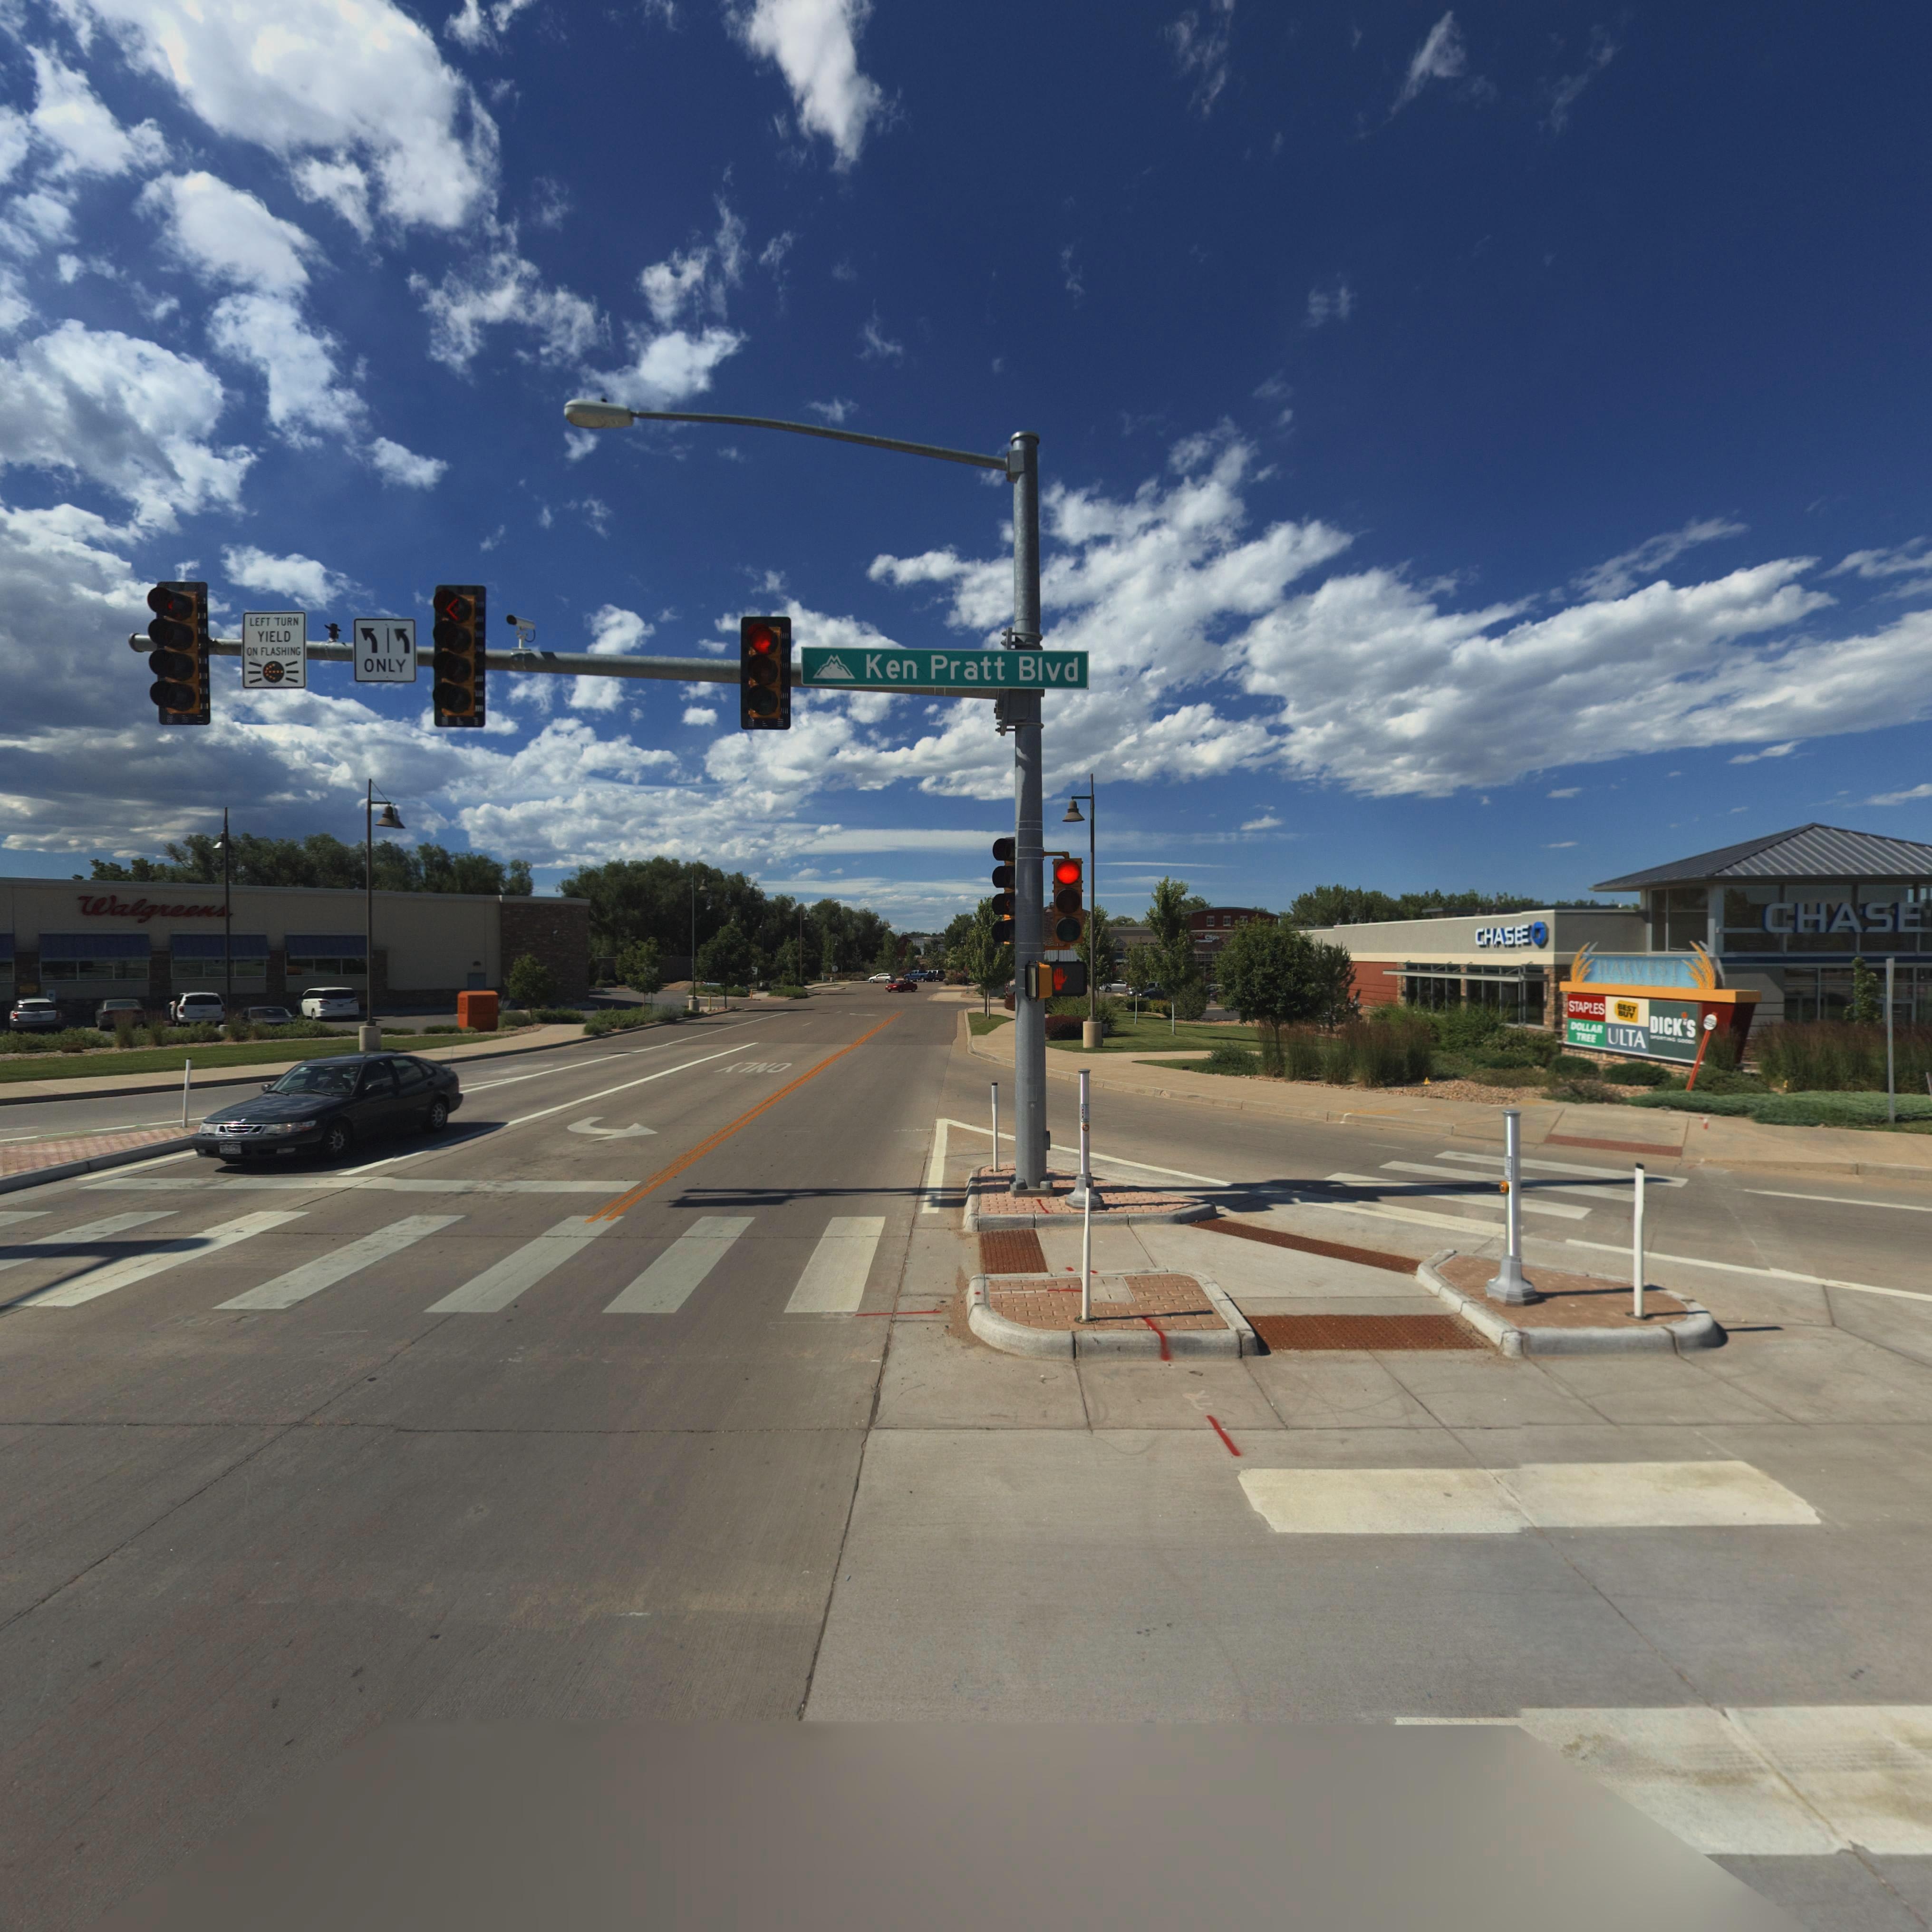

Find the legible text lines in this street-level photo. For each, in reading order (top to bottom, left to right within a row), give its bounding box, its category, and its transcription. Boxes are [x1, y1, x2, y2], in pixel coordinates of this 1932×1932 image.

[865, 654, 1078, 681] BusinessName: Ken Pratt Blvd
[76, 892, 232, 925] BusinessName: Walgreens
[1766, 900, 1926, 932] BusinessName: CHASE
[1115, 939, 1125, 947] BusinessName: ics
[1194, 933, 1220, 941] BusinessName: ortClips
[1471, 921, 1532, 949] BusinessName: CHASE
[1567, 999, 1605, 1015] BusinessName: STAPLES
[1617, 1010, 1634, 1019] BusinessName: BUY
[1617, 1002, 1637, 1014] BusinessName: BEST
[1568, 1021, 1604, 1034] BusinessName: DOLLAR
[1649, 1015, 1696, 1038] BusinessName: DICK*S
[1574, 1032, 1597, 1043] BusinessName: TREE
[1608, 1025, 1647, 1049] BusinessName: ULTA